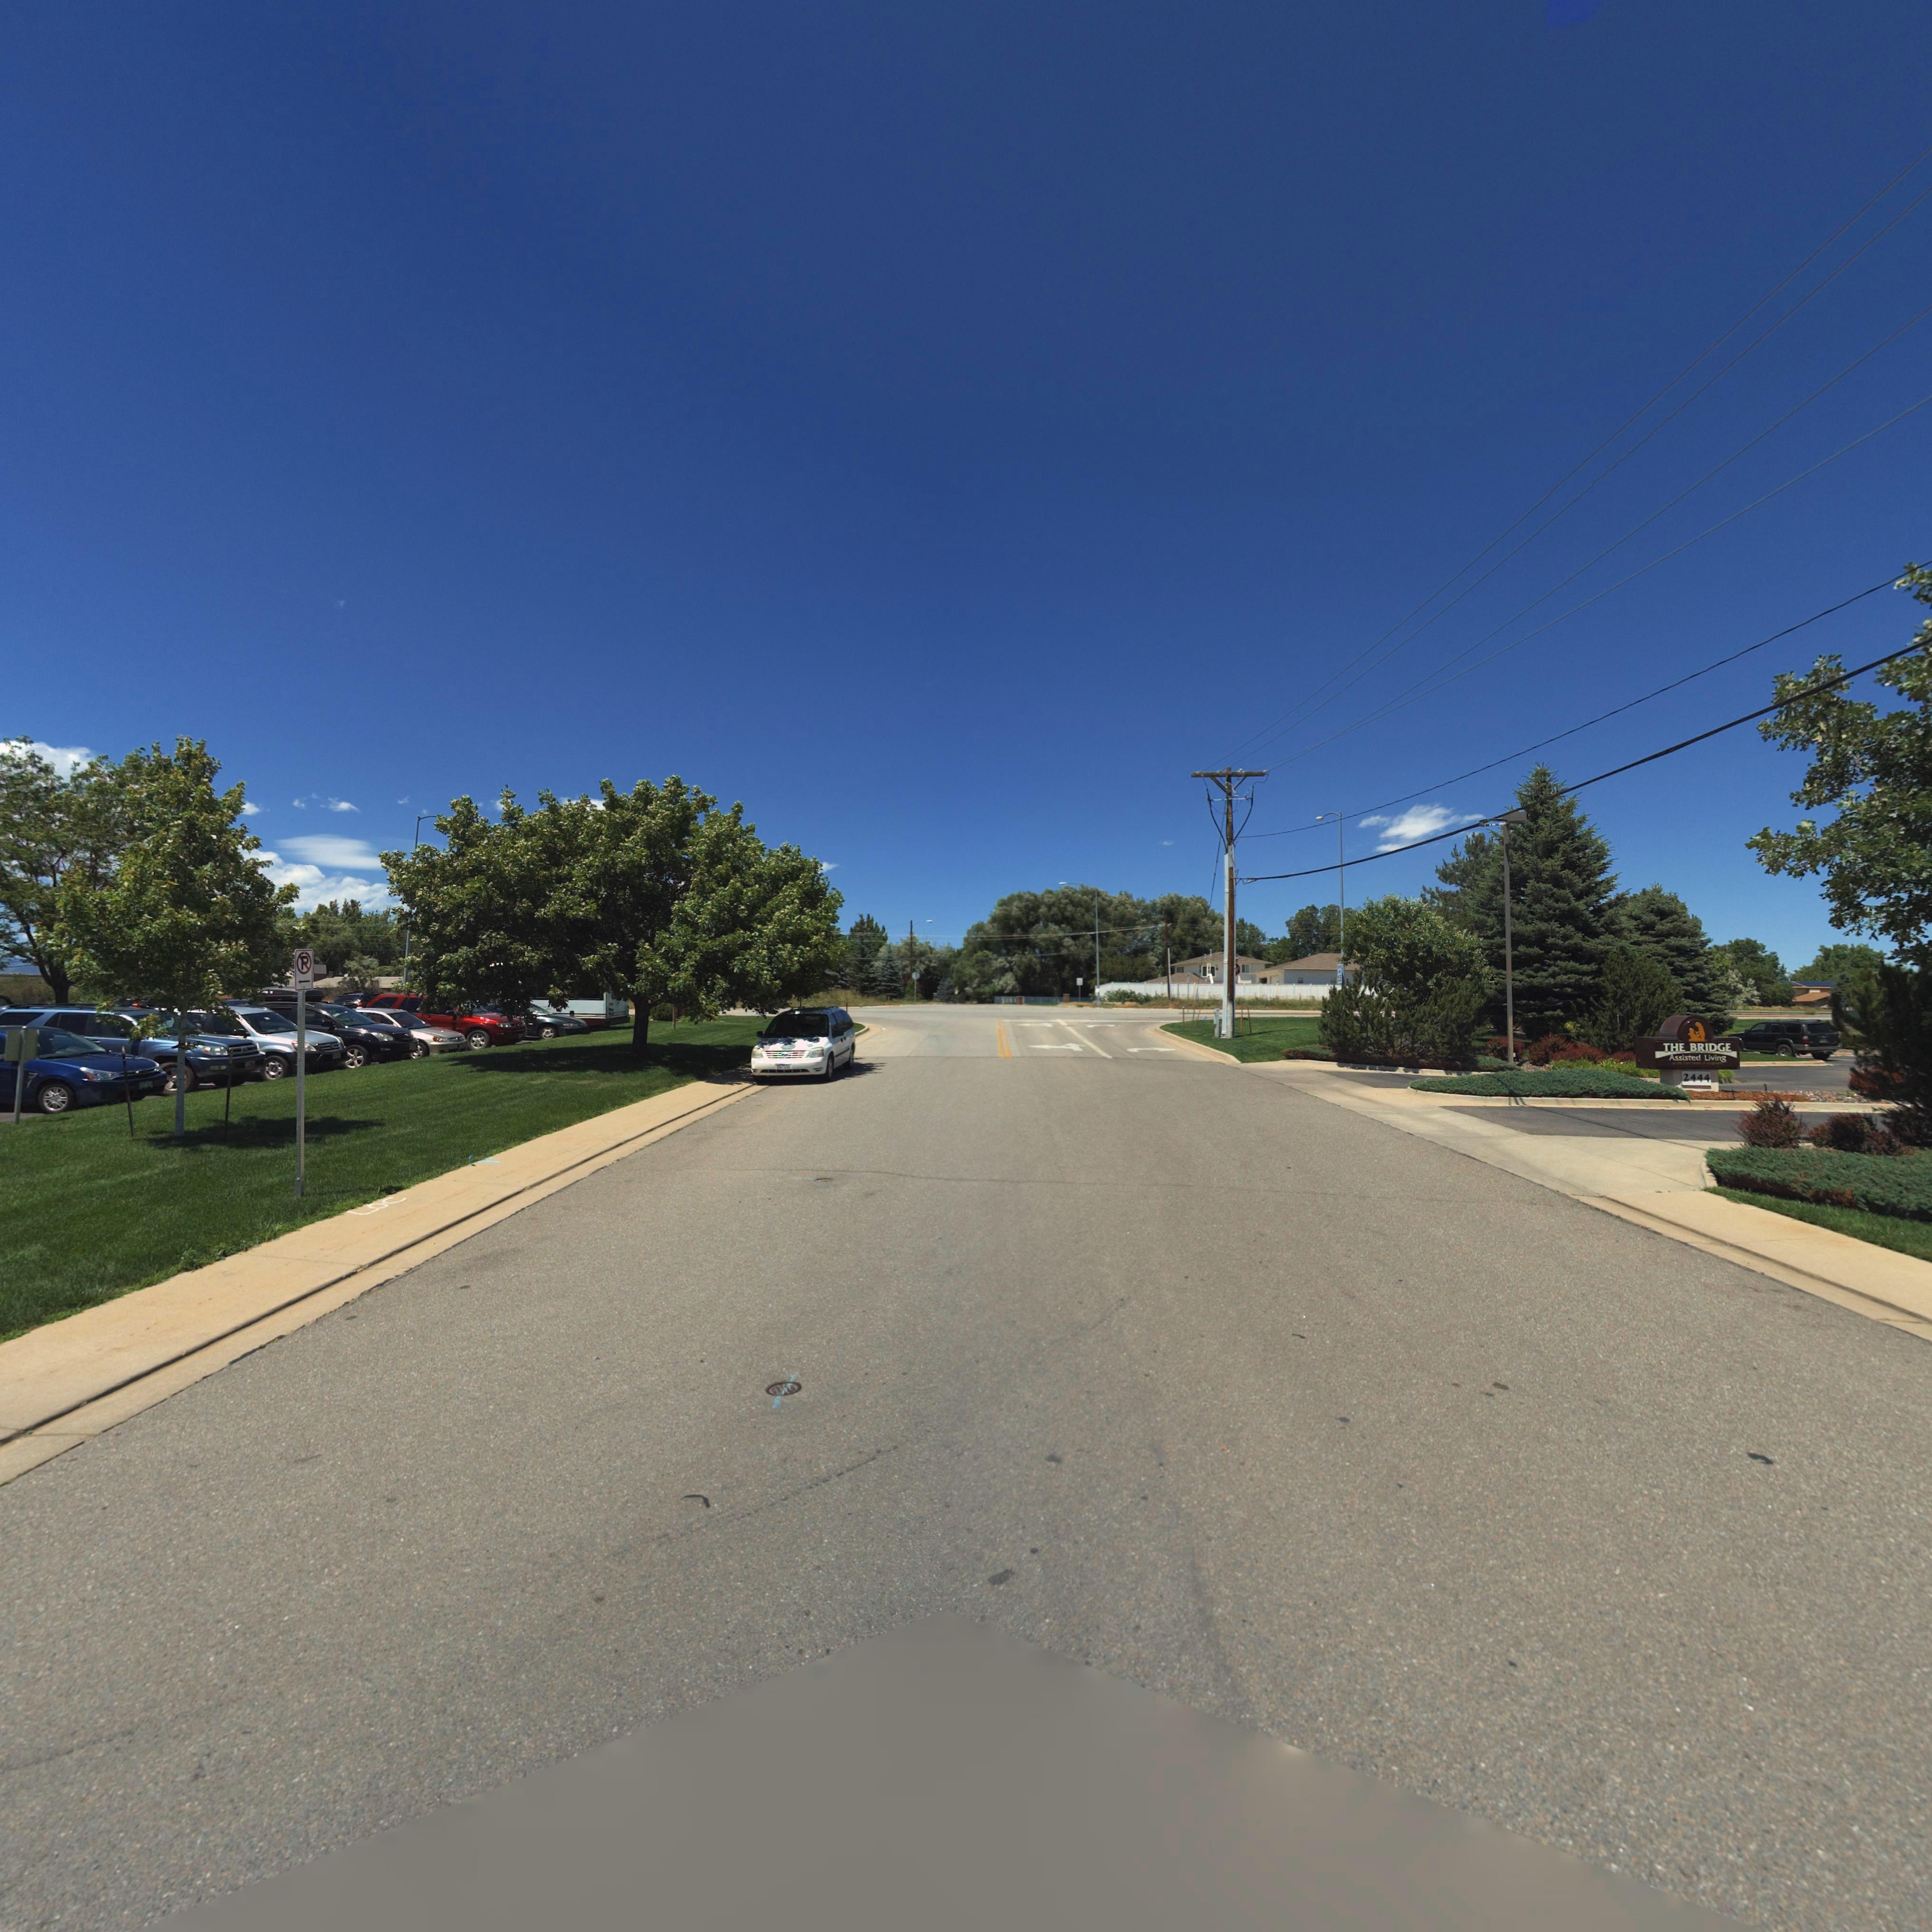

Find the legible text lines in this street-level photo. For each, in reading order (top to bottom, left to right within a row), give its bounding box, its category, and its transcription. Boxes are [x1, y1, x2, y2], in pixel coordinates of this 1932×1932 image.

[1662, 1043, 1732, 1053] BusinessName: THE BRIDGE
[1668, 1054, 1727, 1063] BusinessName: Assisted Living
[1683, 1072, 1710, 1082] StreetNumber: 2444